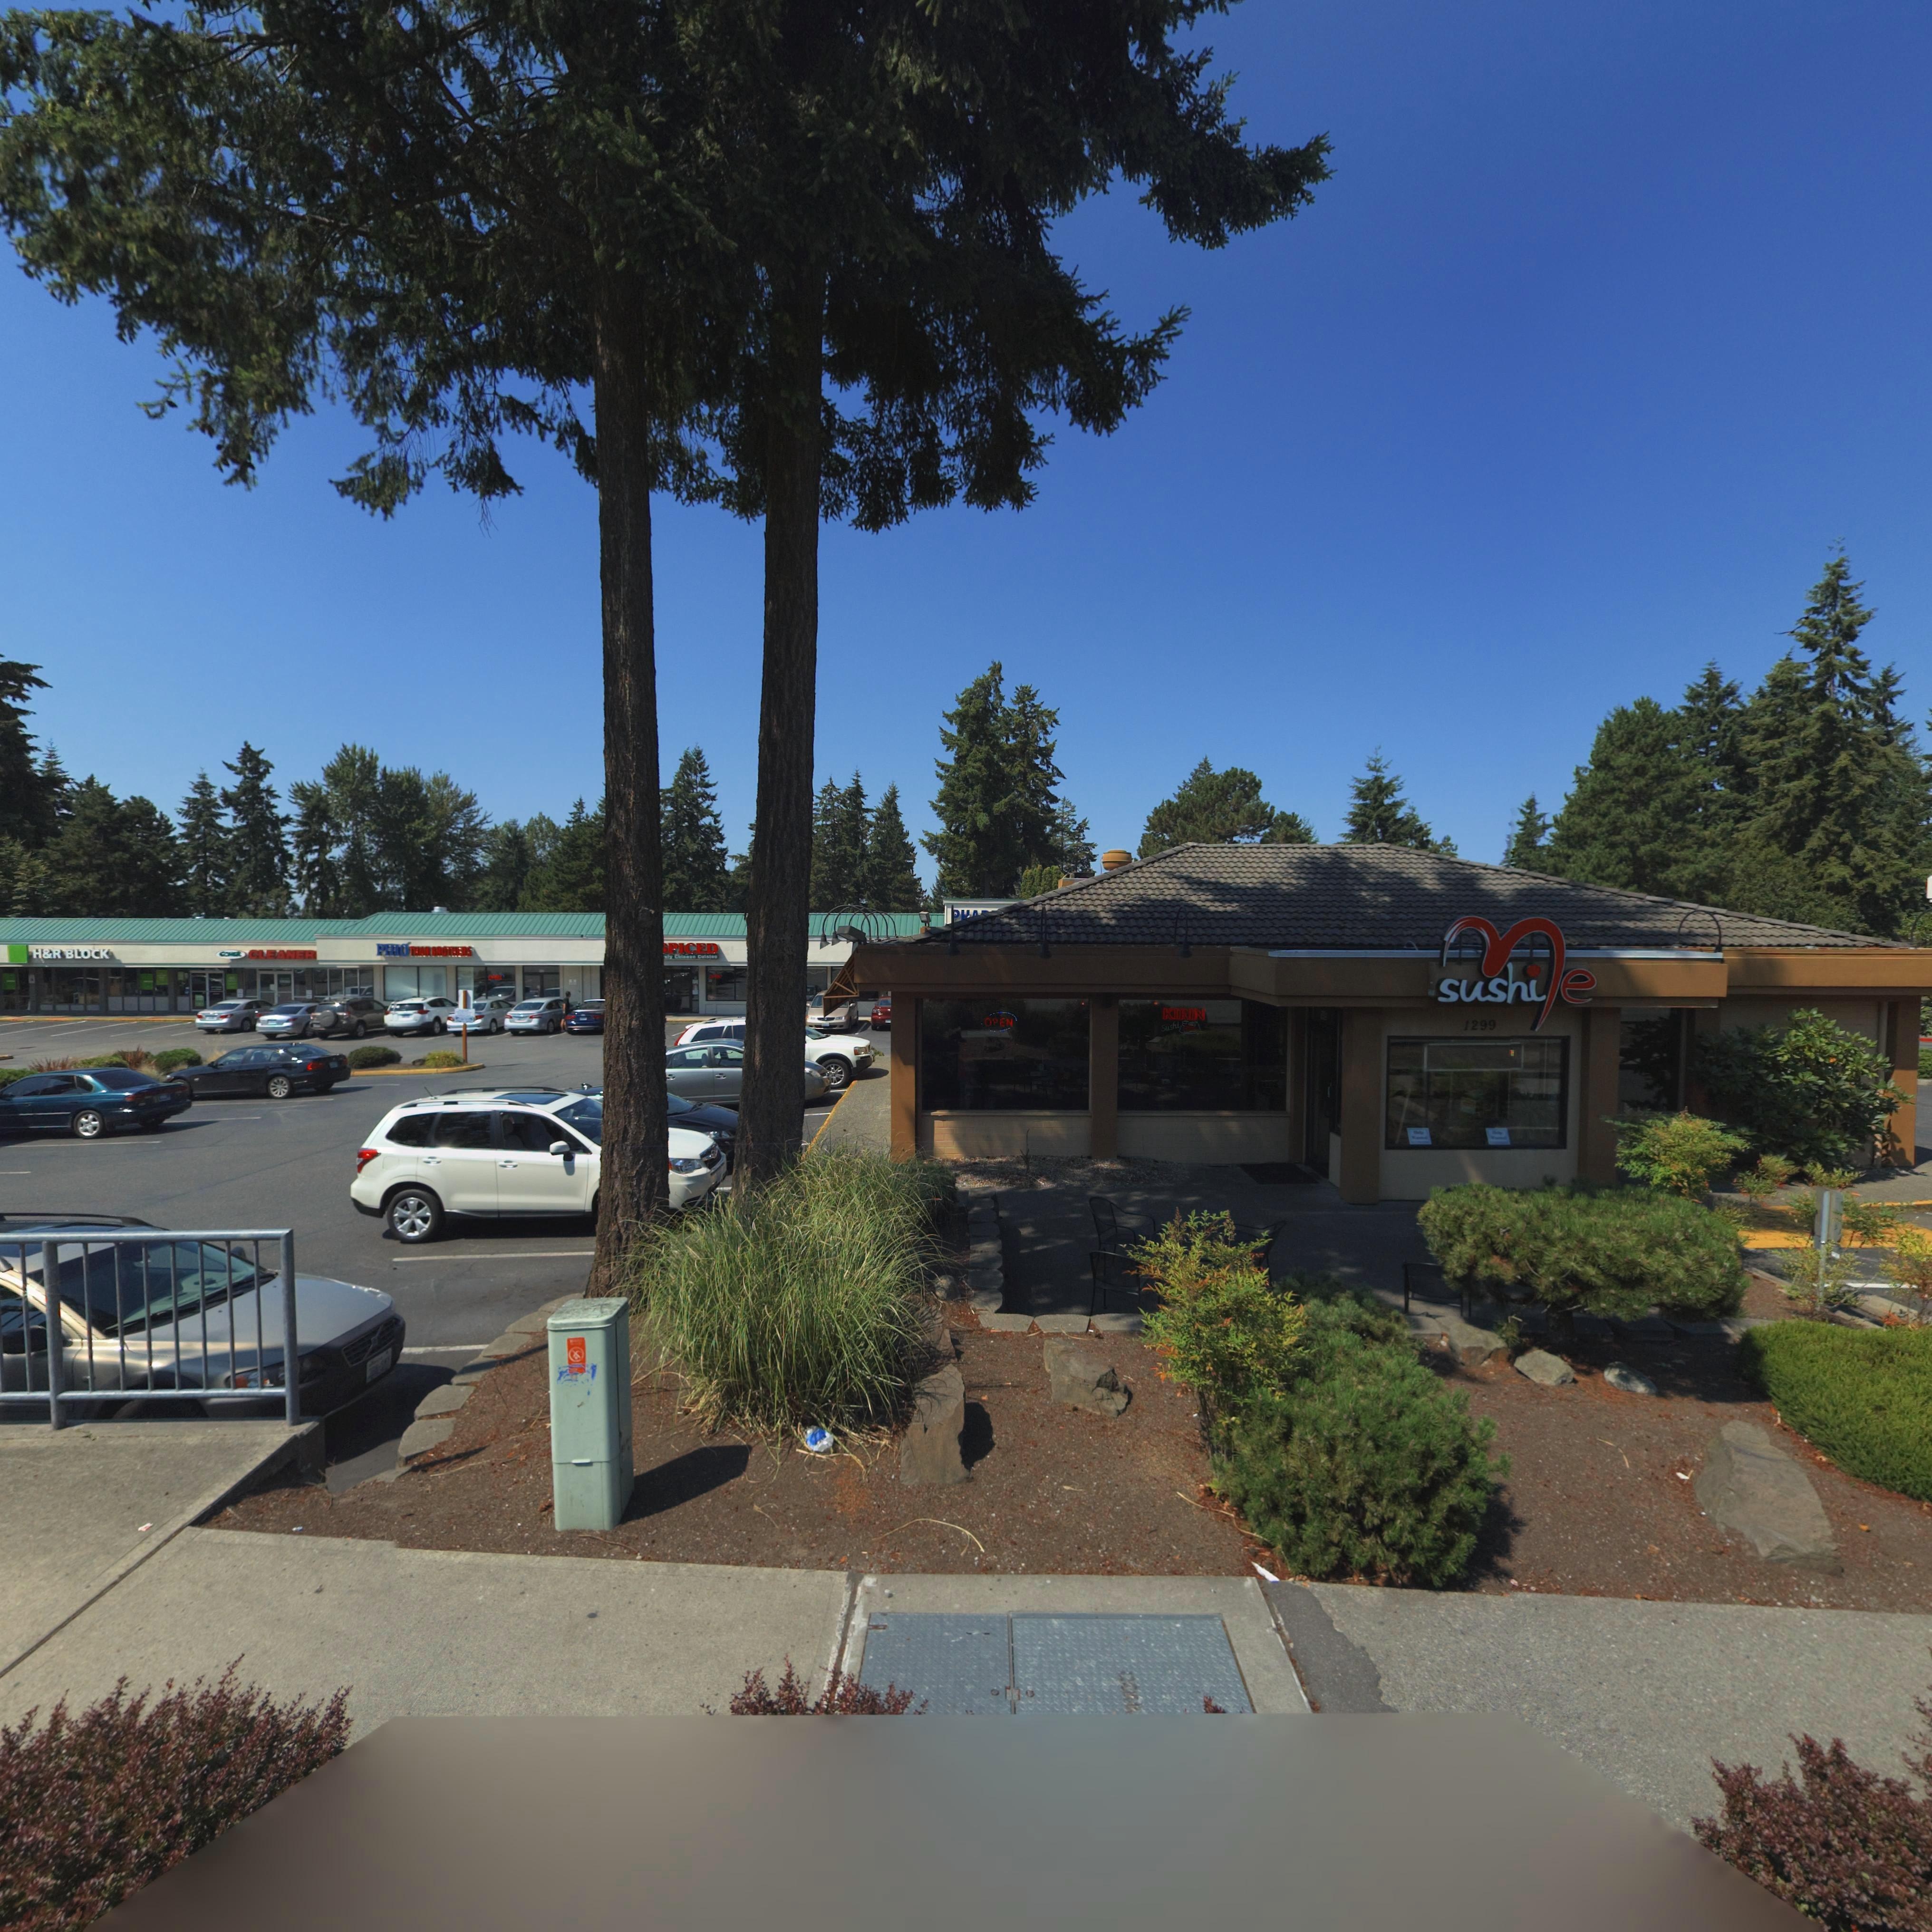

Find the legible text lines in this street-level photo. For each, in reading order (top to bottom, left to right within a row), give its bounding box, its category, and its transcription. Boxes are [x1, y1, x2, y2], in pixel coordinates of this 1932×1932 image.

[32, 948, 109, 958] BusinessName: H*R BLOCK
[248, 949, 315, 958] BusinessName: CLEANER
[663, 944, 719, 954] BusinessName: *PICED
[1437, 969, 1598, 1006] BusinessName: sushi*e
[1463, 1019, 1496, 1031] StreetNumber: 1299